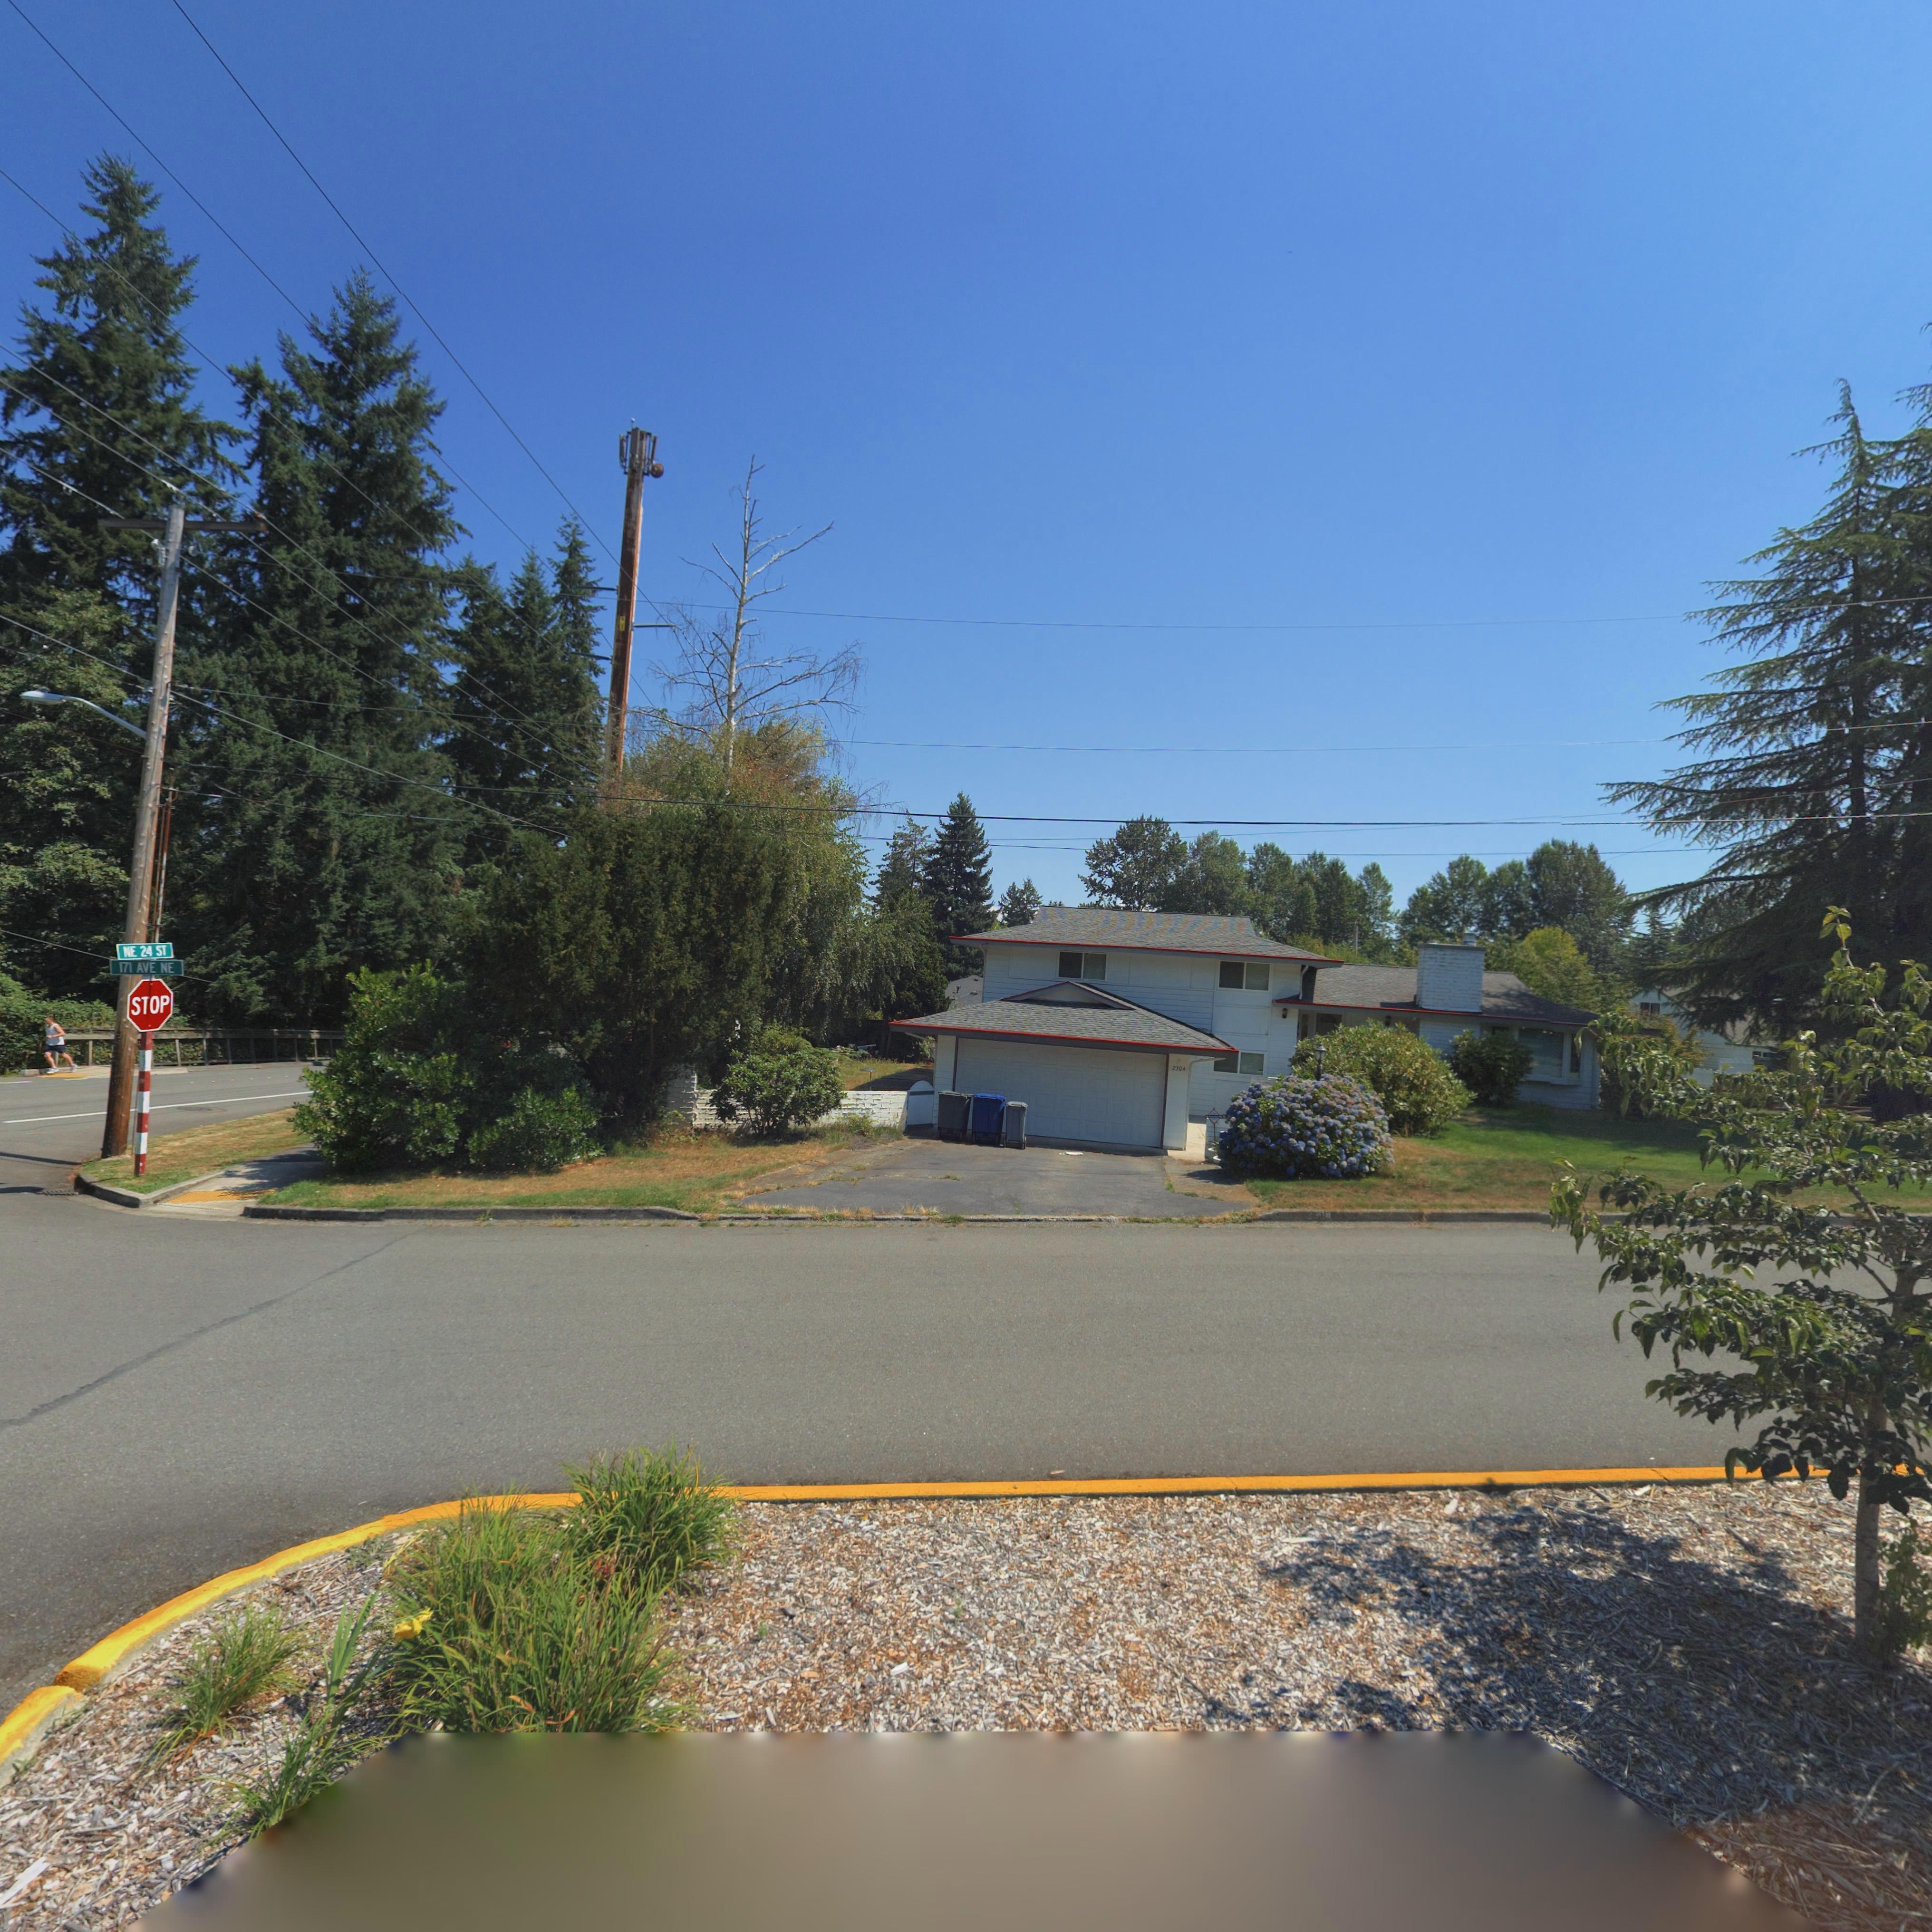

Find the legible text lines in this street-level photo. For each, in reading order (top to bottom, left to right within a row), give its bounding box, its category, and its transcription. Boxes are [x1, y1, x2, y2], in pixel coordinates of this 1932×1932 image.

[122, 943, 167, 957] StreetName: NE 24 ST
[119, 961, 175, 974] StreetName: 171 AVE NE
[1172, 1065, 1185, 1072] StreetNumber: 2304